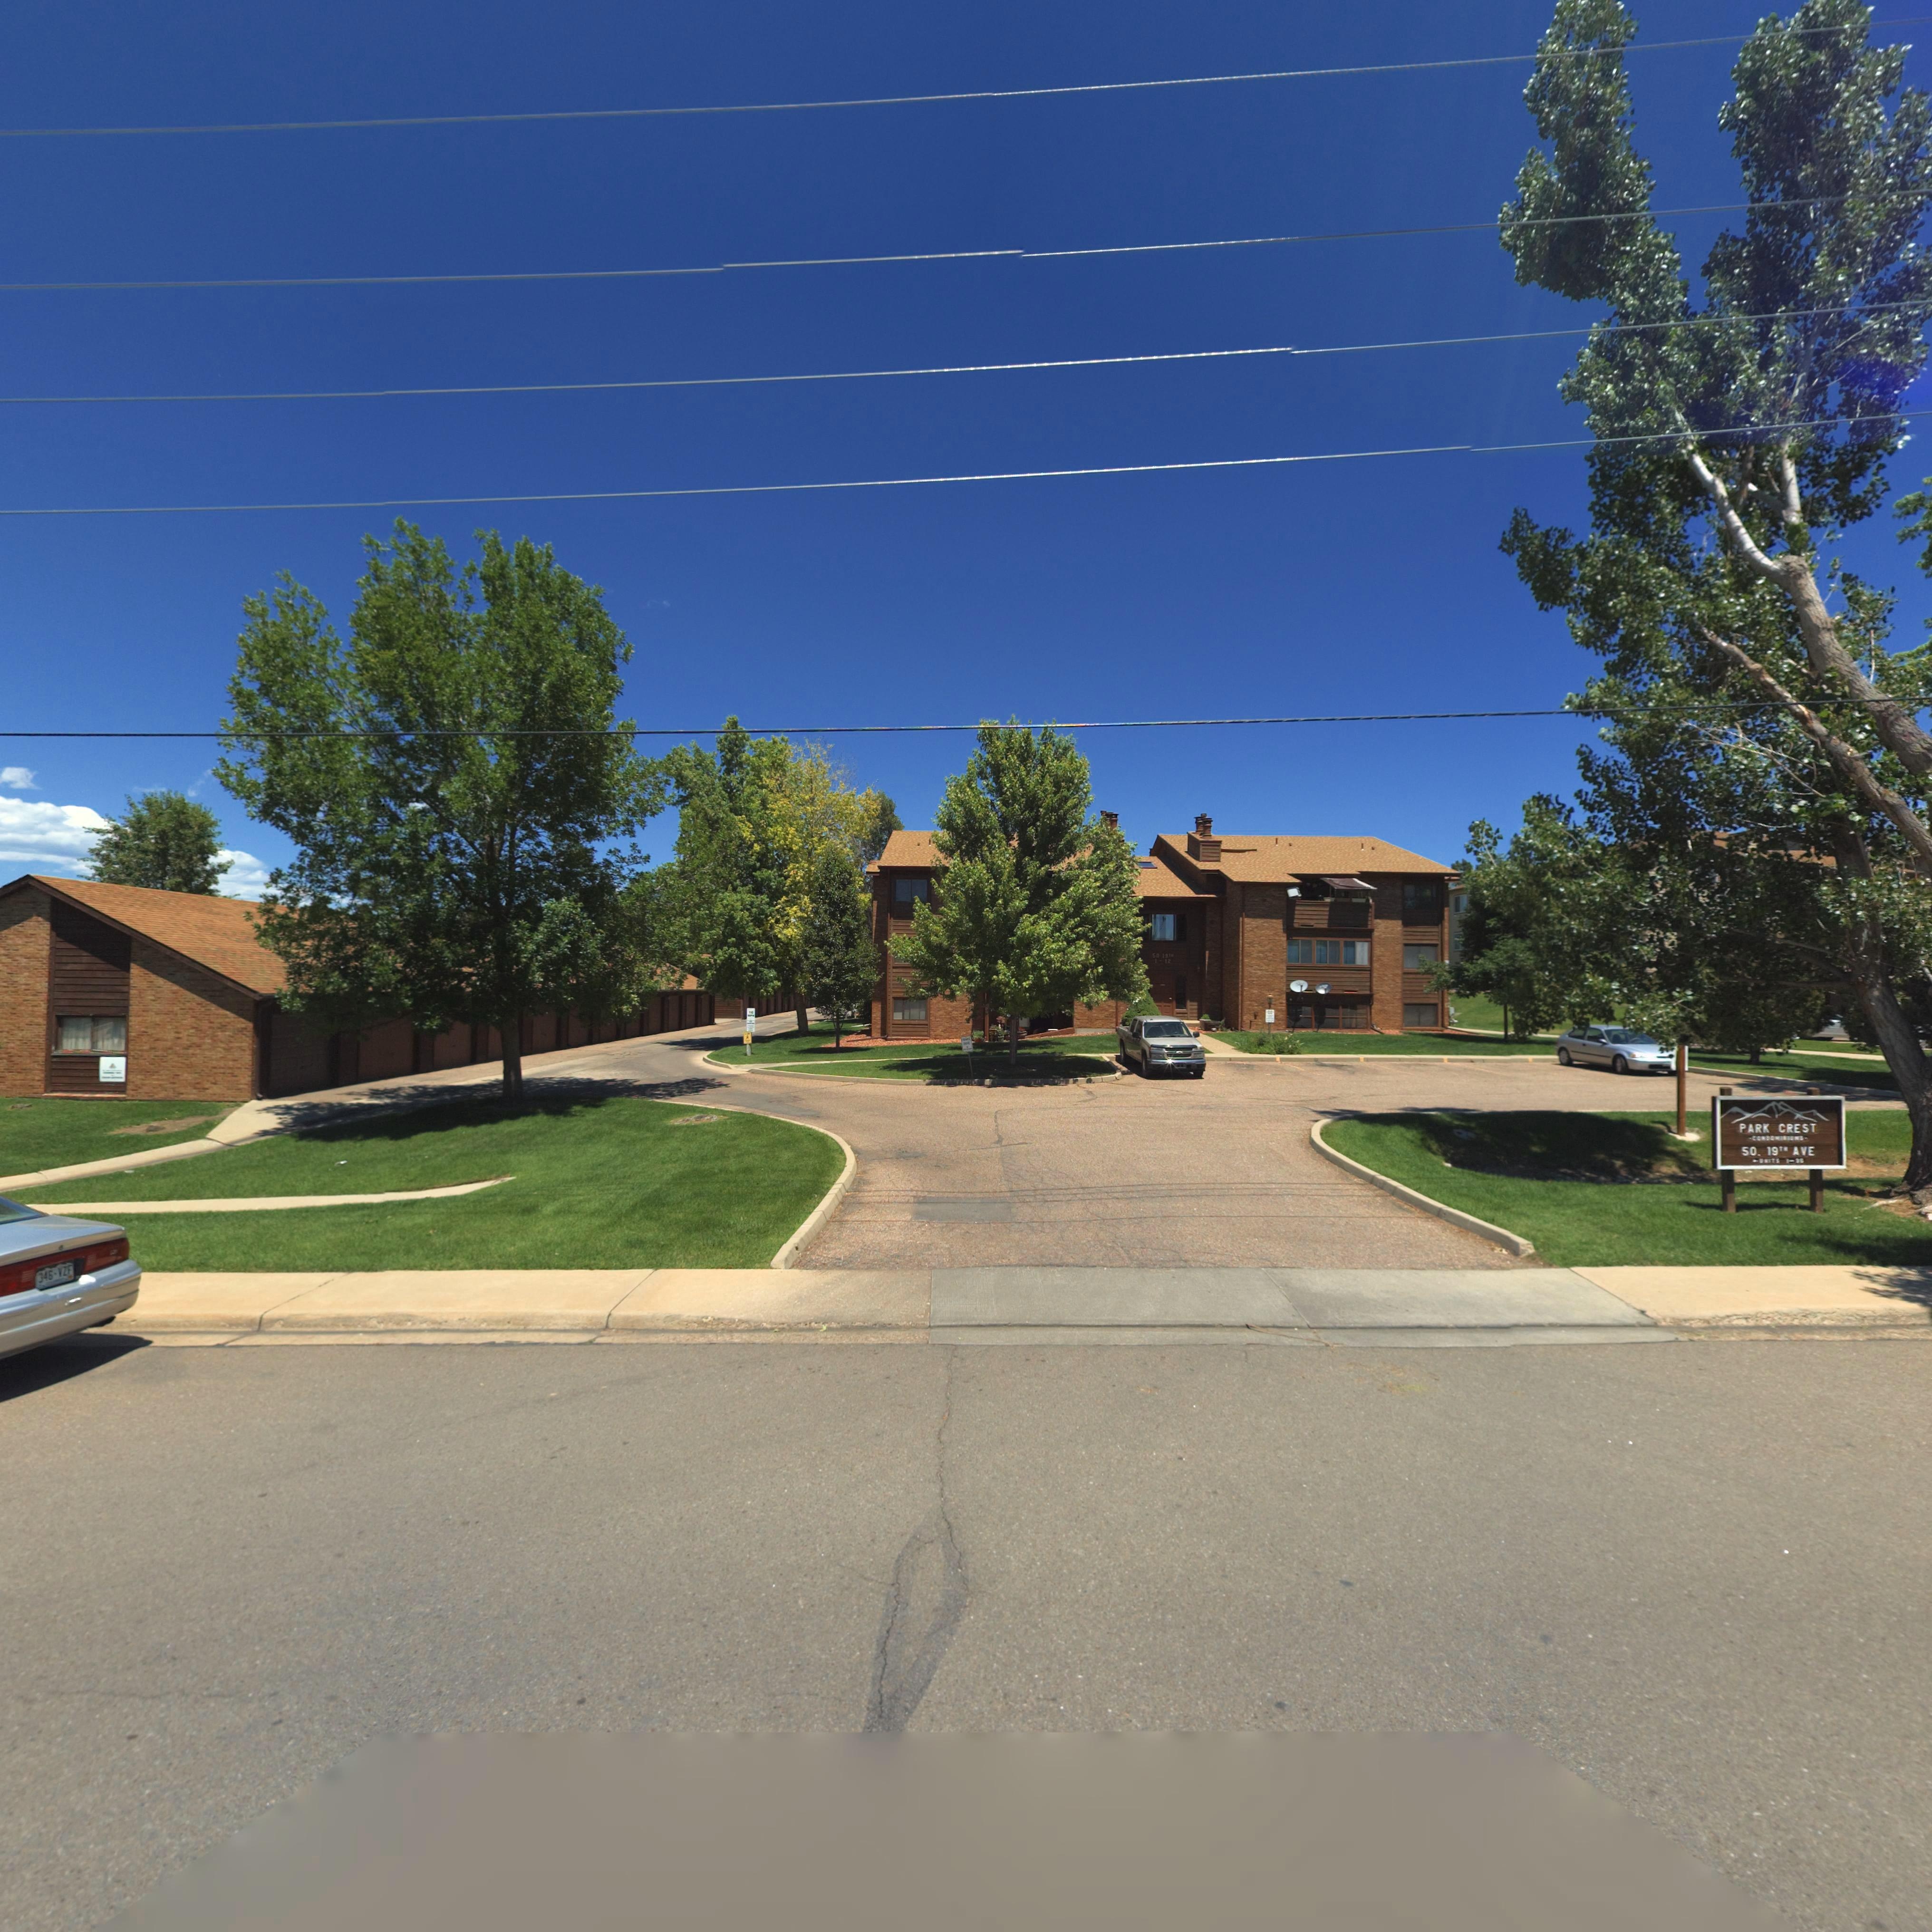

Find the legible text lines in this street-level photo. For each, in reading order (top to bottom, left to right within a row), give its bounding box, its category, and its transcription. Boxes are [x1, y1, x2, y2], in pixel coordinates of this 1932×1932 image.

[1152, 953, 1159, 958] StreetNumber: 50
[1162, 953, 1174, 958] StreetName: 19TH
[1739, 1123, 1817, 1133] BusinessName: PARK CREST
[1751, 1135, 1804, 1141] BusinessName: CONDOMINIUMS
[1741, 1146, 1757, 1156] StreetNumber: 50
[1766, 1146, 1815, 1156] StreetName: 19TH AVE
[1758, 1158, 1805, 1164] SecondaryUnitDesignator: UNITS 1-35